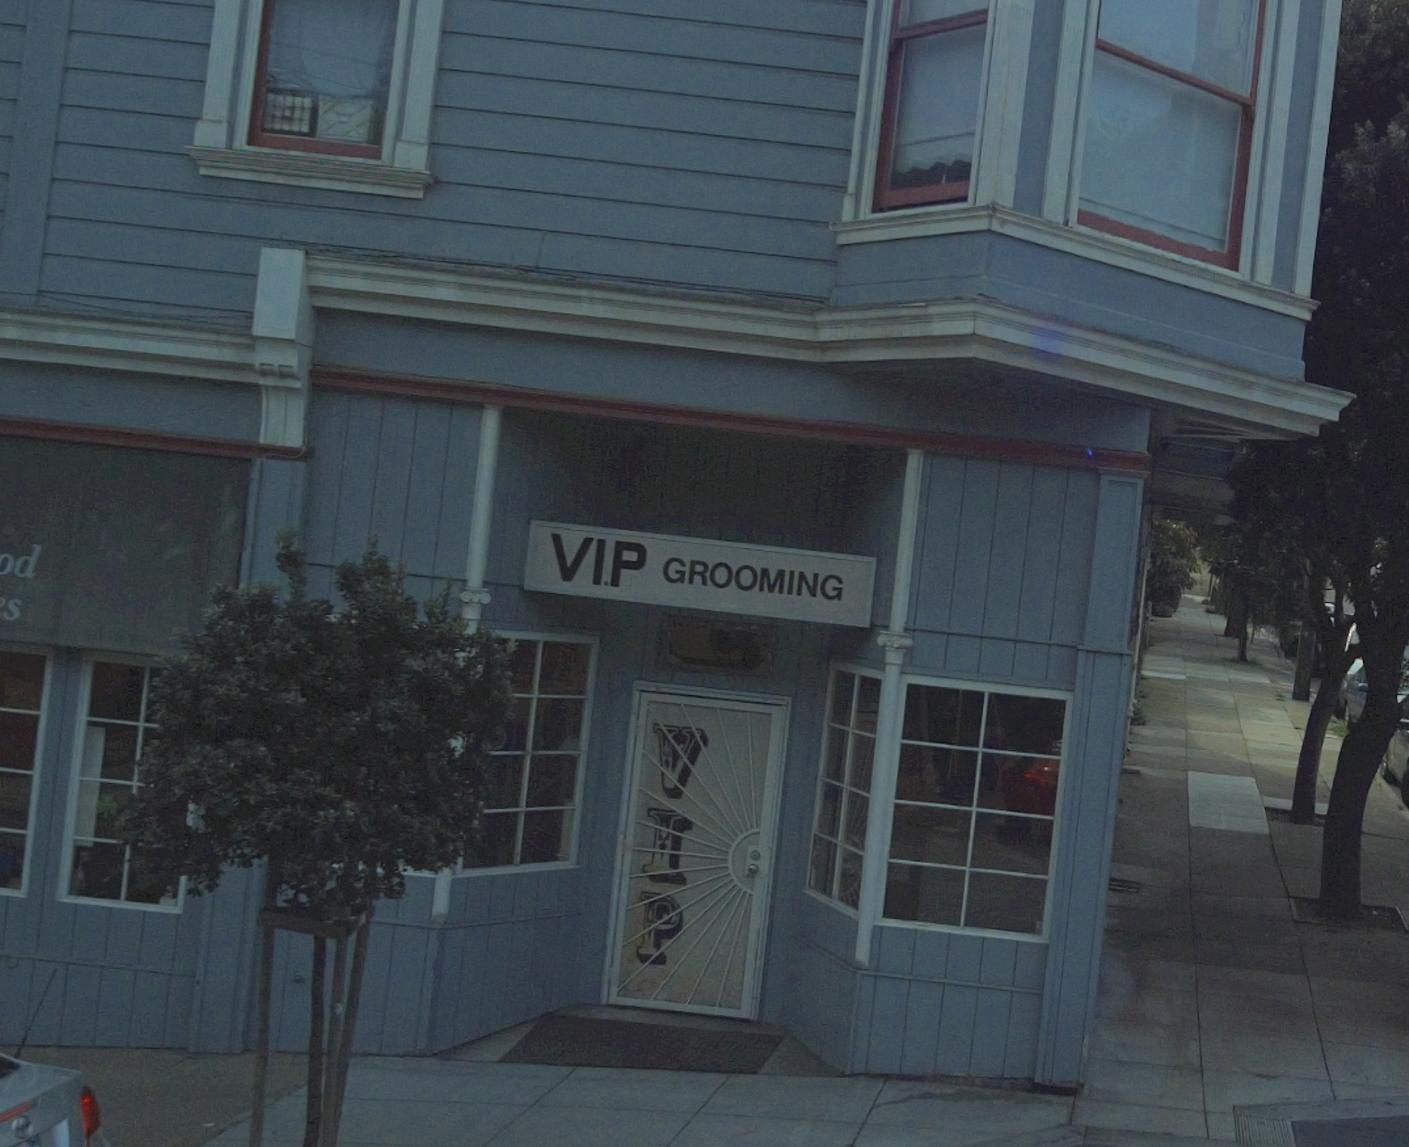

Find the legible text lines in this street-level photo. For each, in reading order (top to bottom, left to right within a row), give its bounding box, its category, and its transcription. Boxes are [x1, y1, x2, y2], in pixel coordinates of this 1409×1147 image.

[12, 542, 44, 580] None: d
[549, 531, 849, 603] BusinessName: VI.P GROOMING
[2, 597, 24, 623] None: s
[633, 722, 713, 969] BusinessName: VIP